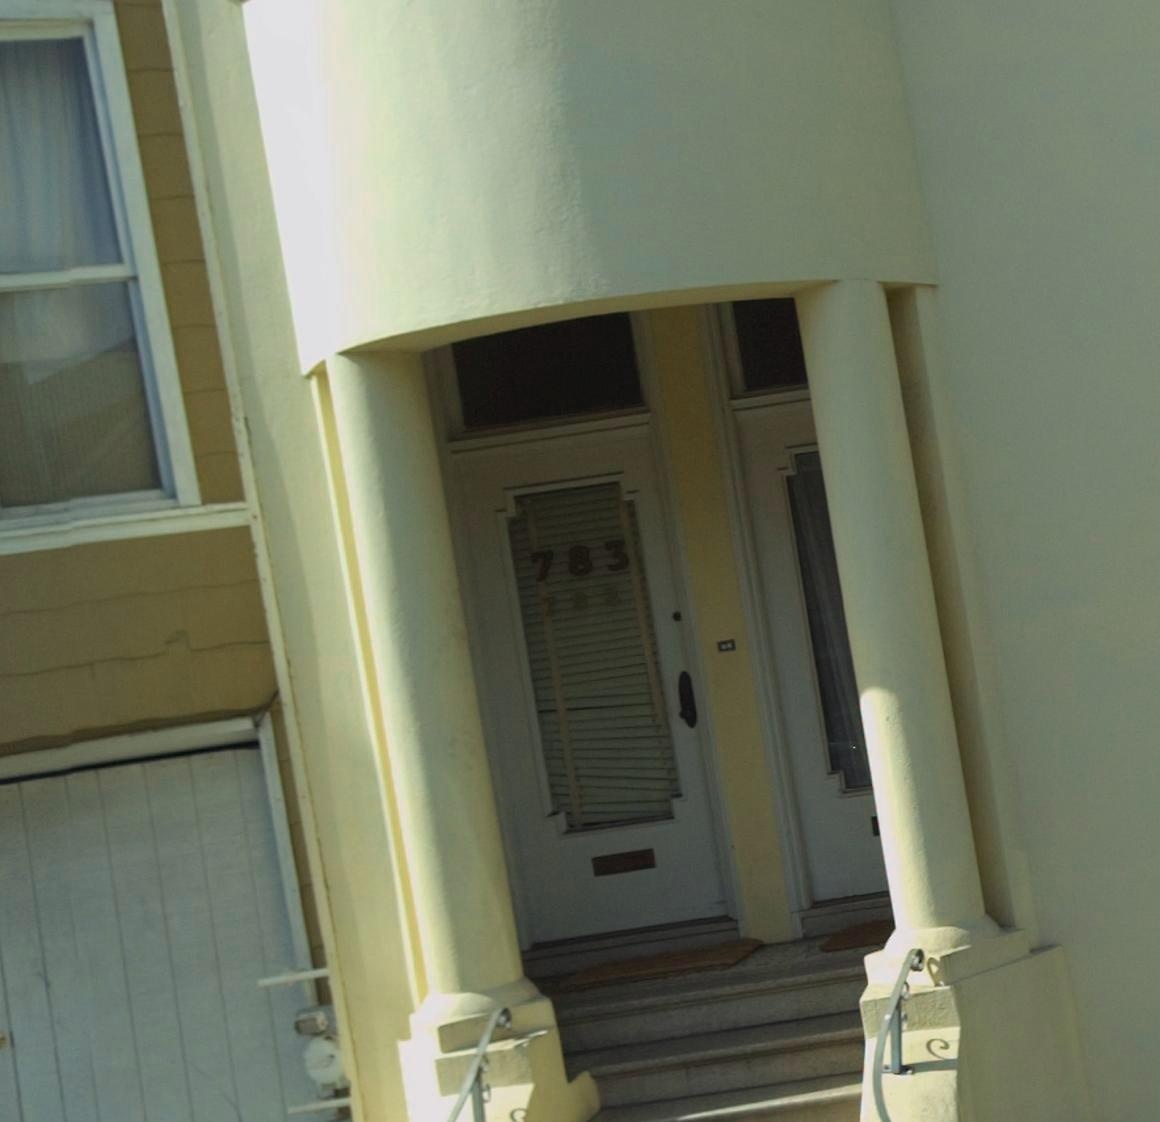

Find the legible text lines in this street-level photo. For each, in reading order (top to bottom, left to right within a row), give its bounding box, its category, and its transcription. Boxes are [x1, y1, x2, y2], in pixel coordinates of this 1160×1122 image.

[528, 535, 633, 587] StreetNumber: 783
[538, 584, 625, 620] StreetNumber: 783